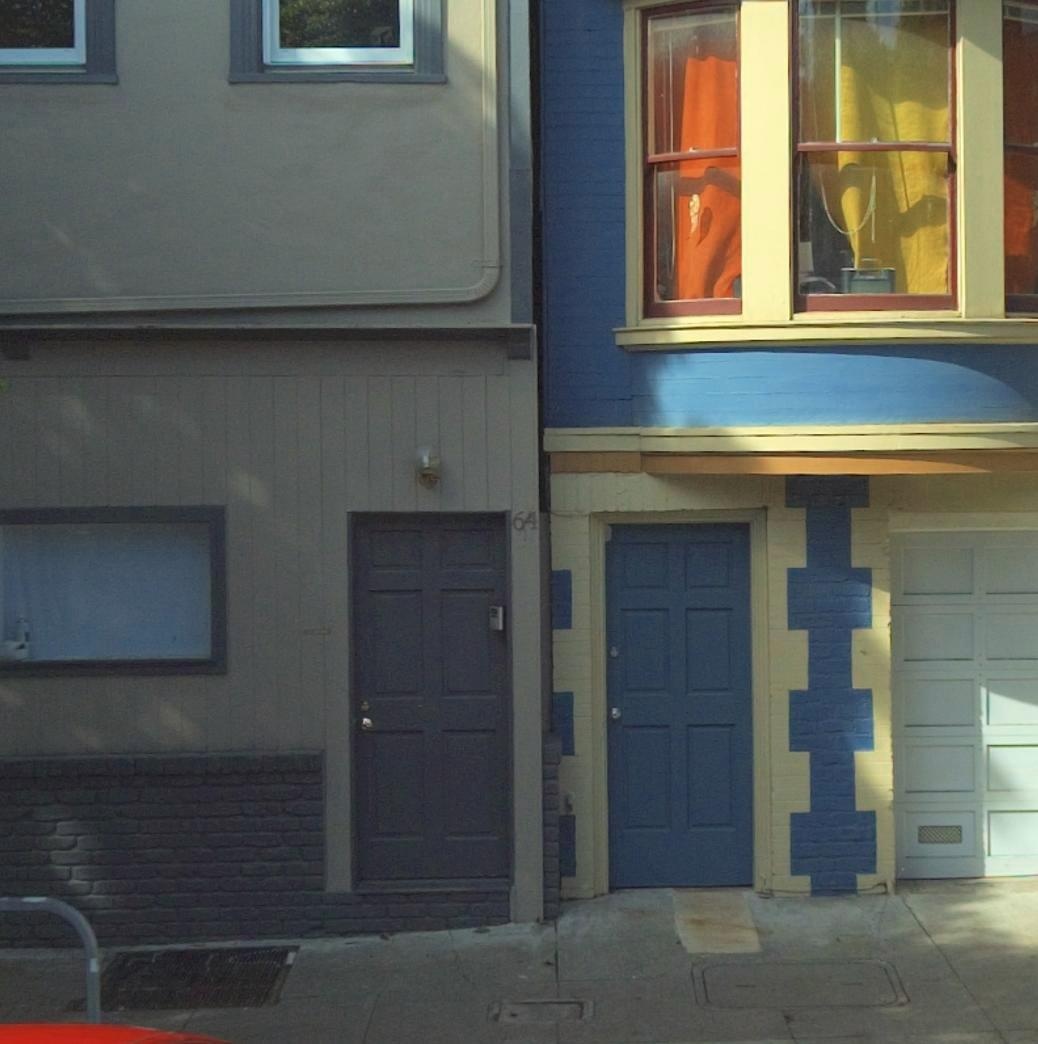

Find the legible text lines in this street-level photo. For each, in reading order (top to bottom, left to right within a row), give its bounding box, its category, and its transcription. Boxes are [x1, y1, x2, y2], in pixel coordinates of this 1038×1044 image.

[512, 510, 538, 531] StreetNumber: 64